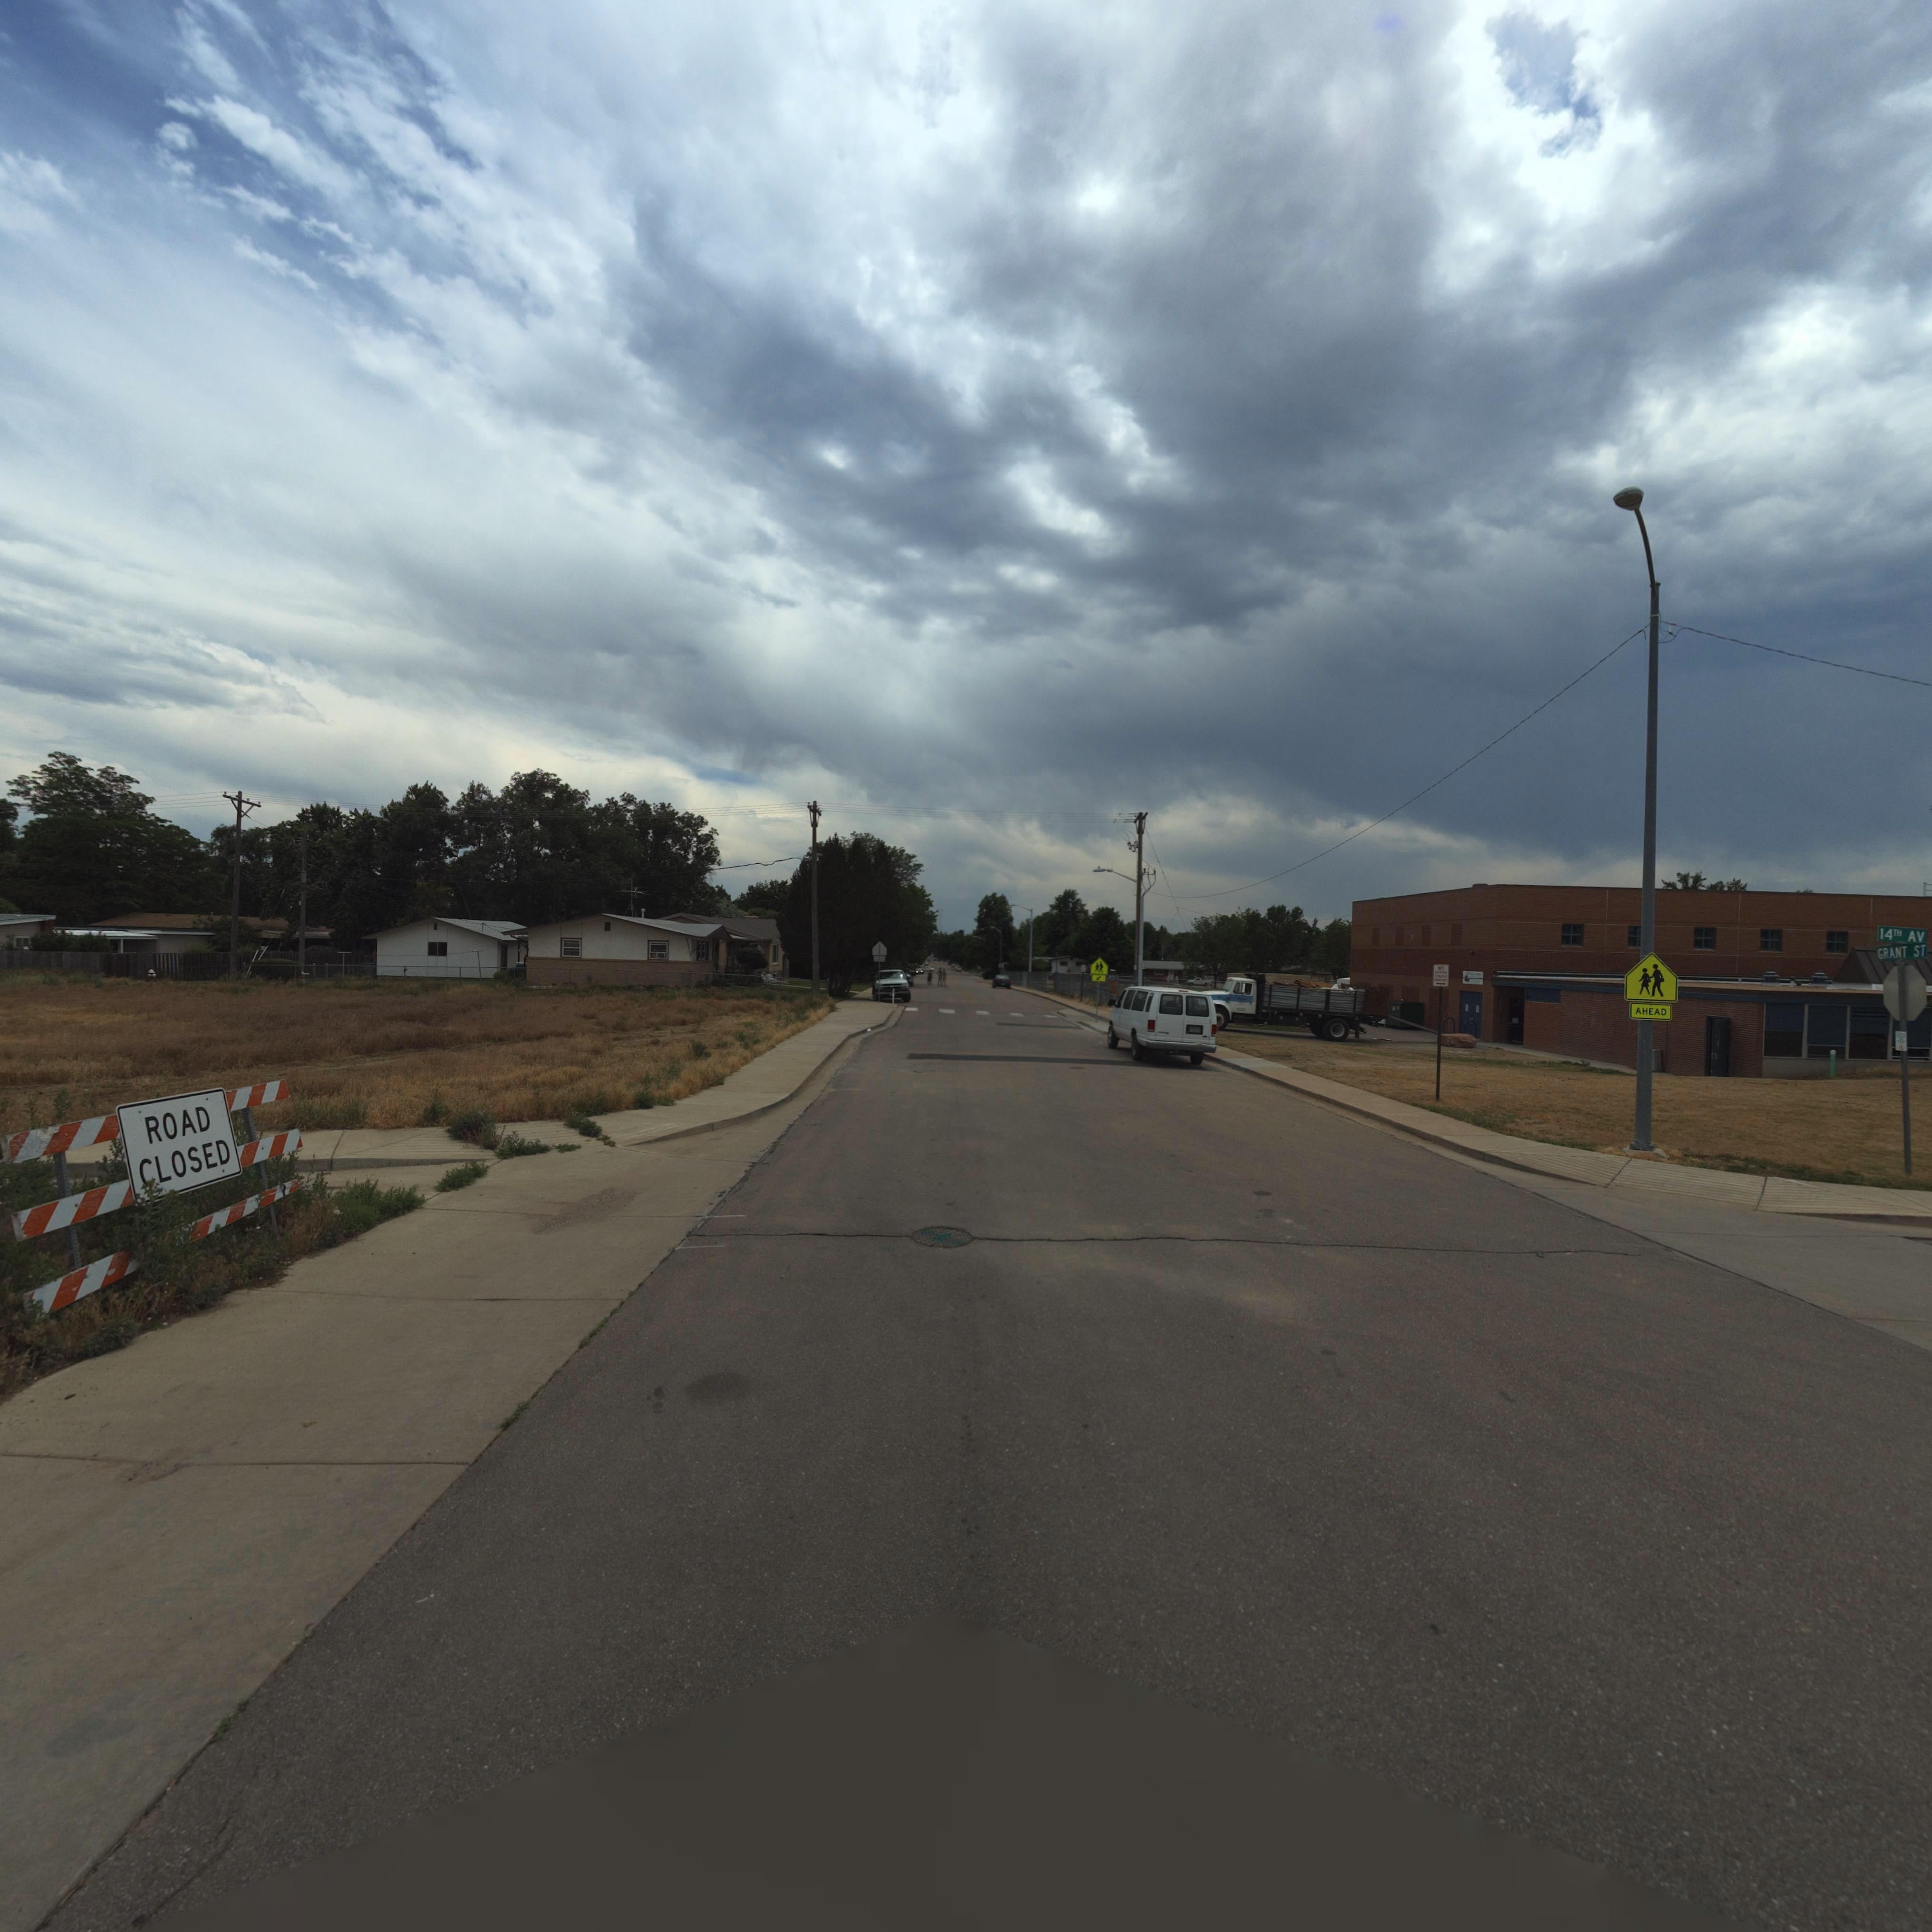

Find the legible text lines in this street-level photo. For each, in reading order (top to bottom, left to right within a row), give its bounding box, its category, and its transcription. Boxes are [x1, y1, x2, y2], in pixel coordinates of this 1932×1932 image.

[1879, 927, 1925, 943] StreetName: 14TH AV
[1877, 944, 1926, 959] StreetName: GRANT ST